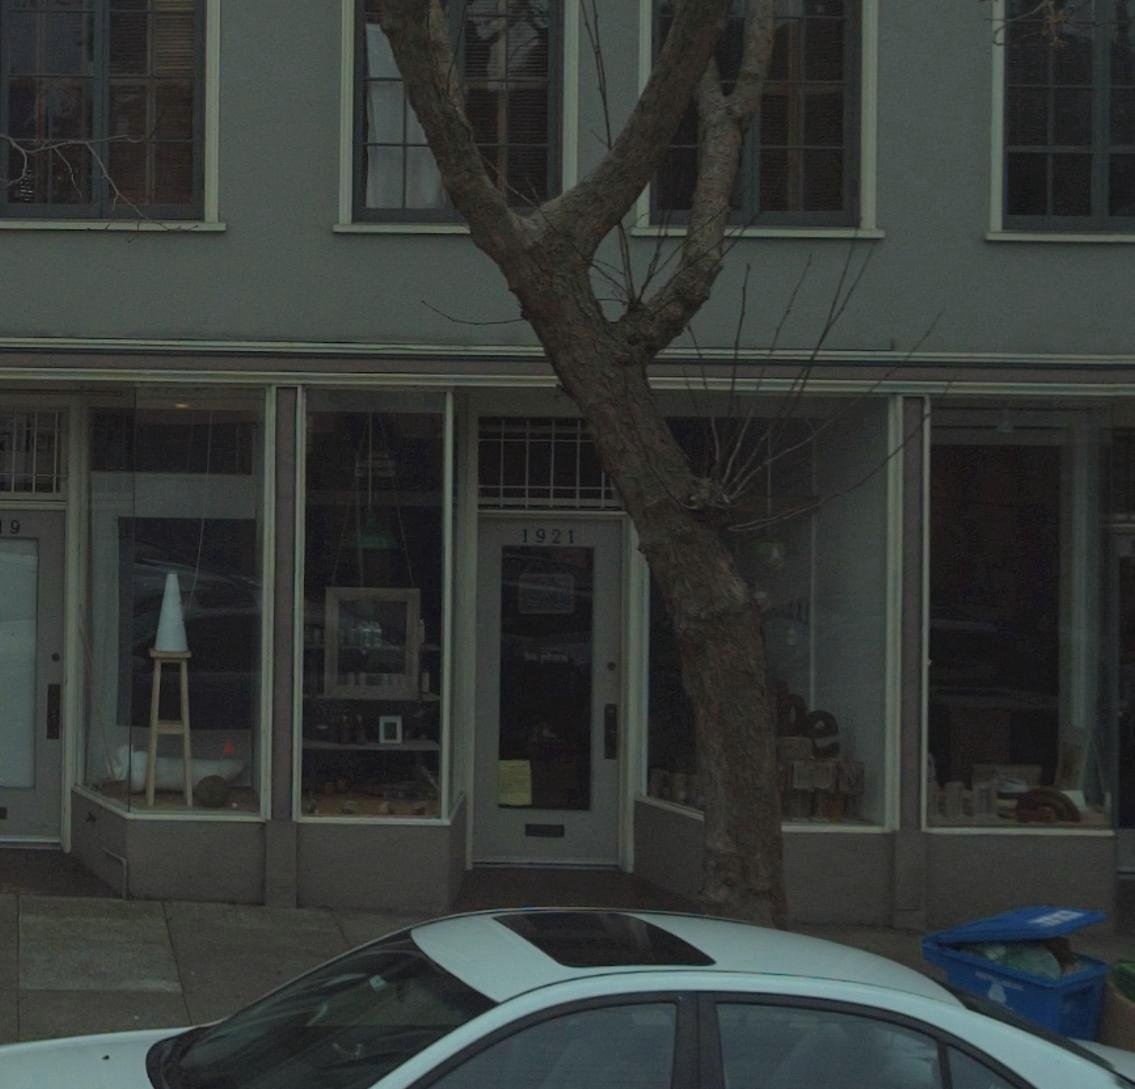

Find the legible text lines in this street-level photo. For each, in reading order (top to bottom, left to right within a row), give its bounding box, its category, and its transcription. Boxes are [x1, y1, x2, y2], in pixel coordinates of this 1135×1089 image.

[520, 525, 575, 546] StreetNumber: 1921